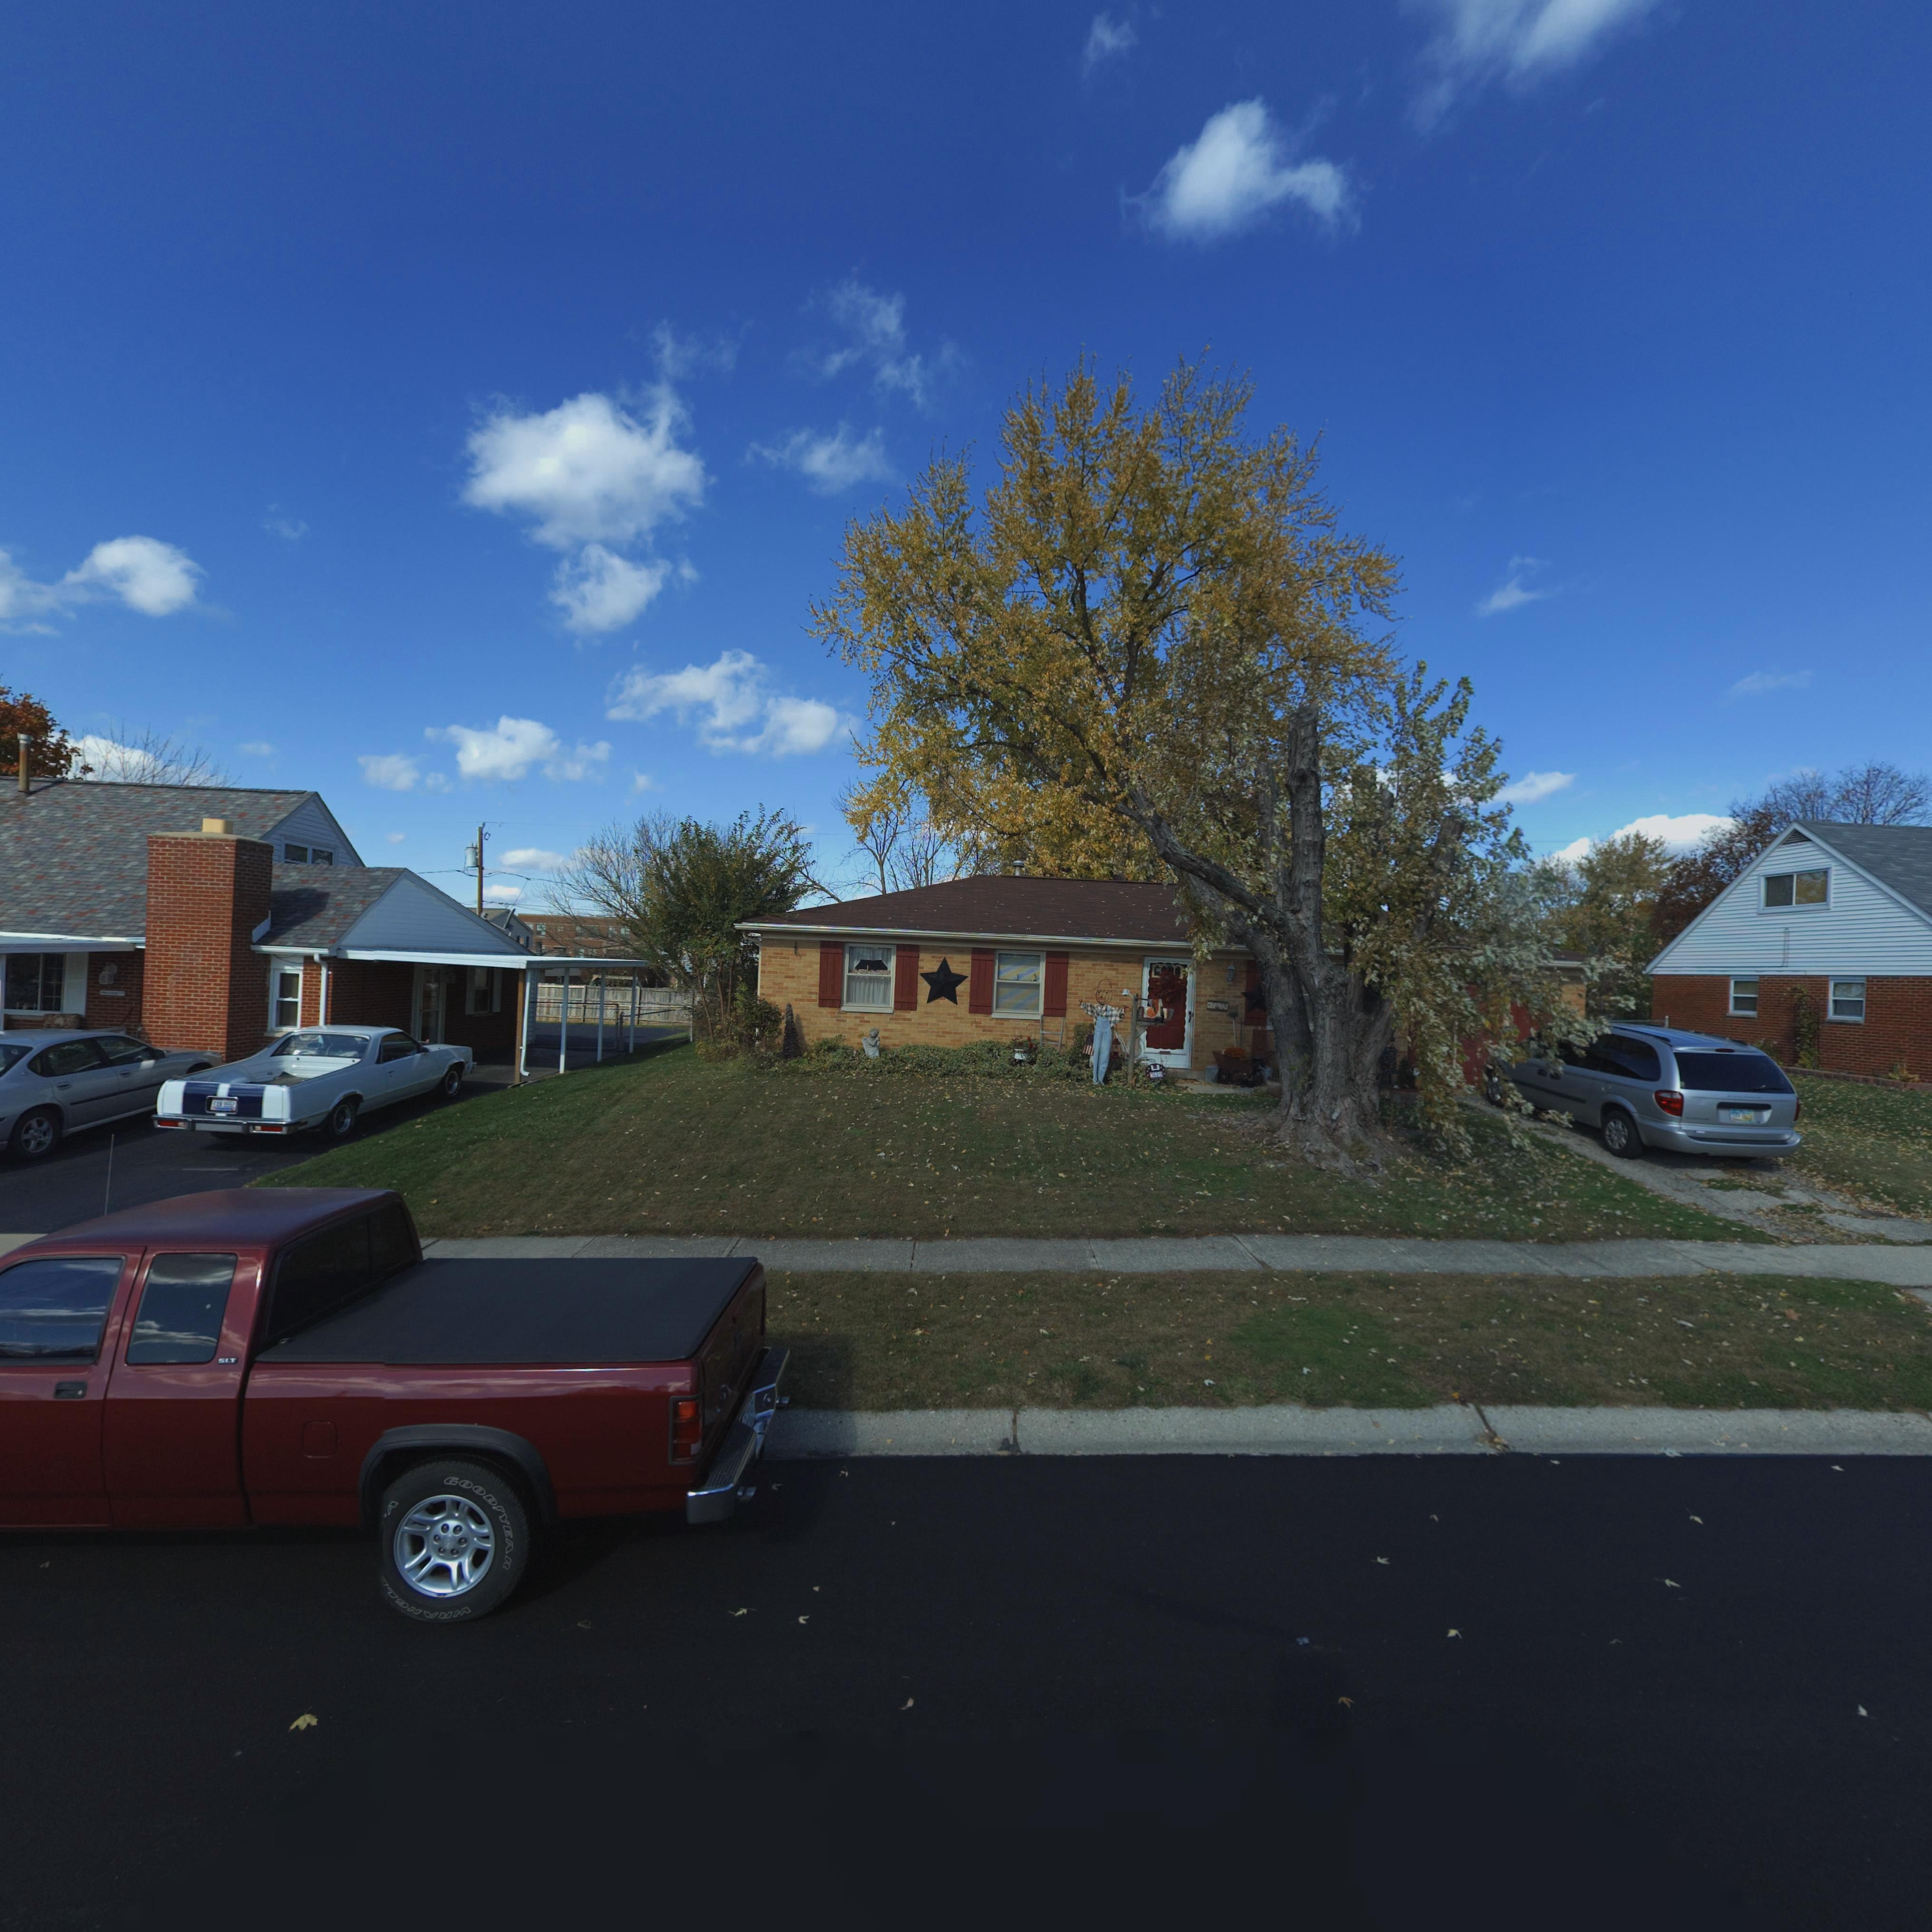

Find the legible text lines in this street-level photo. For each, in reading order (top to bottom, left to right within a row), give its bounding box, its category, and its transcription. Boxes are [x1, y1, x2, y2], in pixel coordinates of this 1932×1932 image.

[1211, 1002, 1228, 1010] StreetNumber: 7619
[1149, 1071, 1163, 1078] StreetNumber: 761*